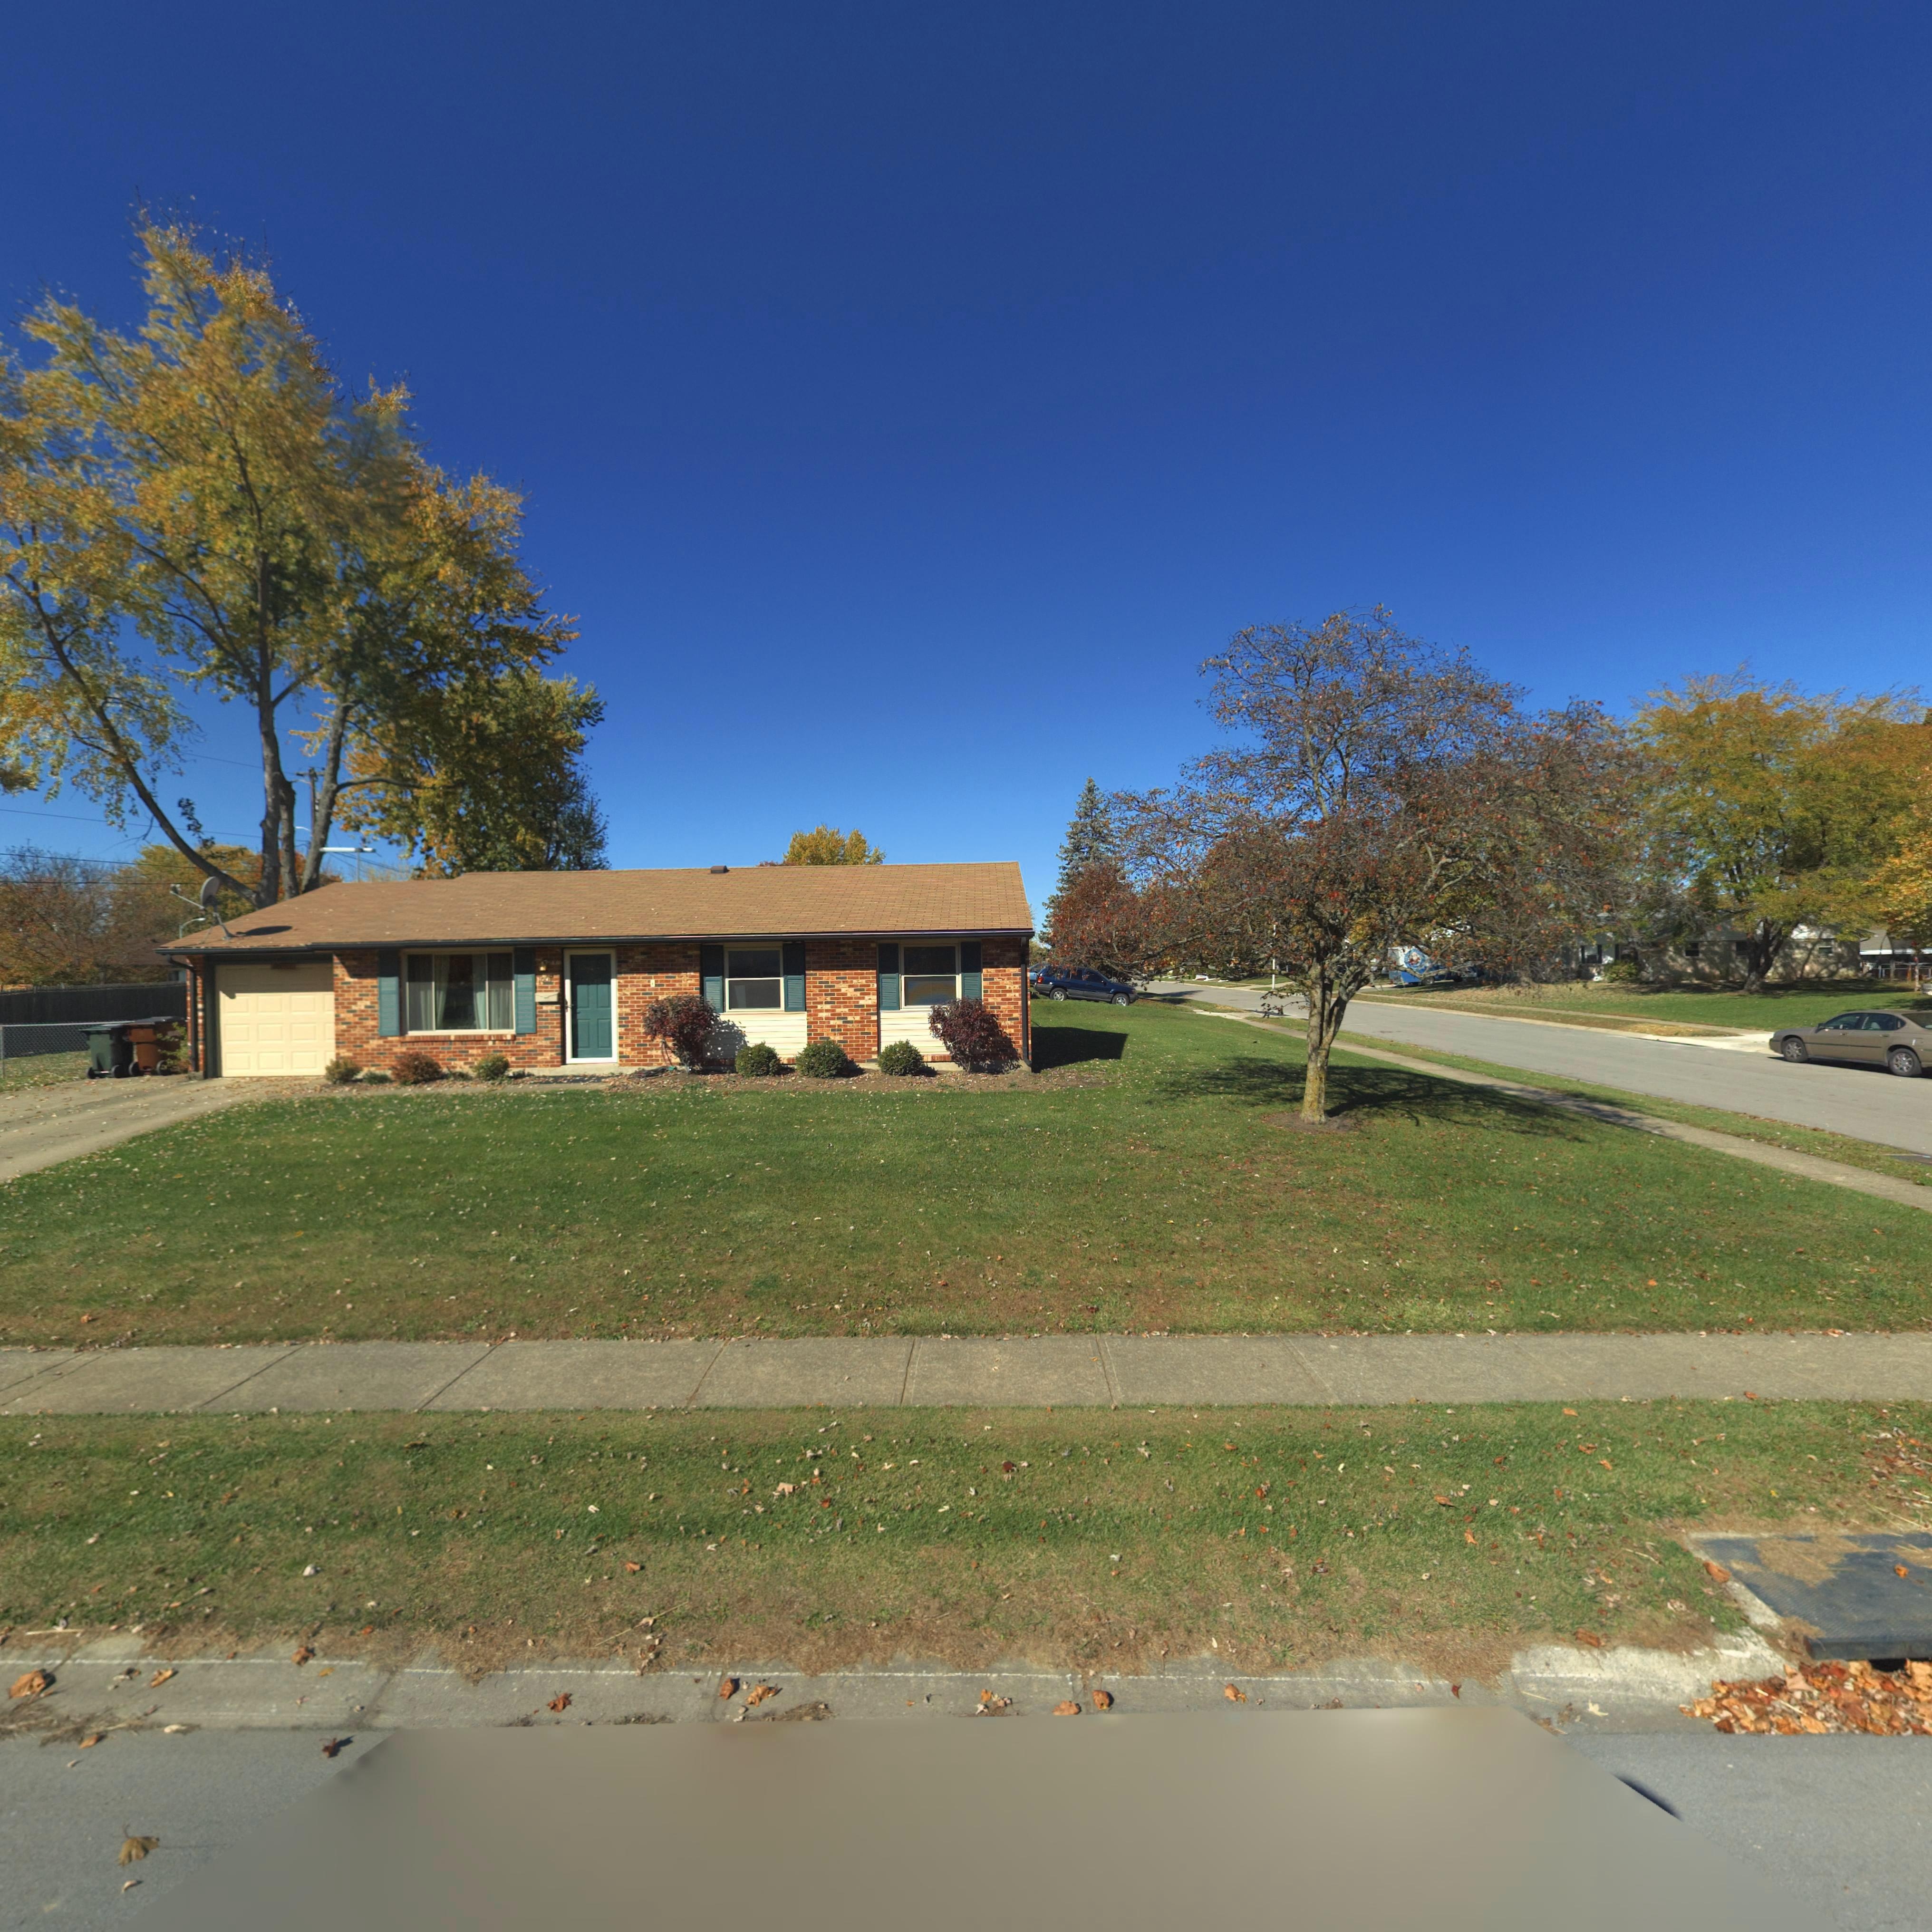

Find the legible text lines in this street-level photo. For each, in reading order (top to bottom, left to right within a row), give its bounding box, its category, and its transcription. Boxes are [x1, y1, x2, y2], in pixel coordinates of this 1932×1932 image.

[538, 976, 550, 982] StreetNumber: 100